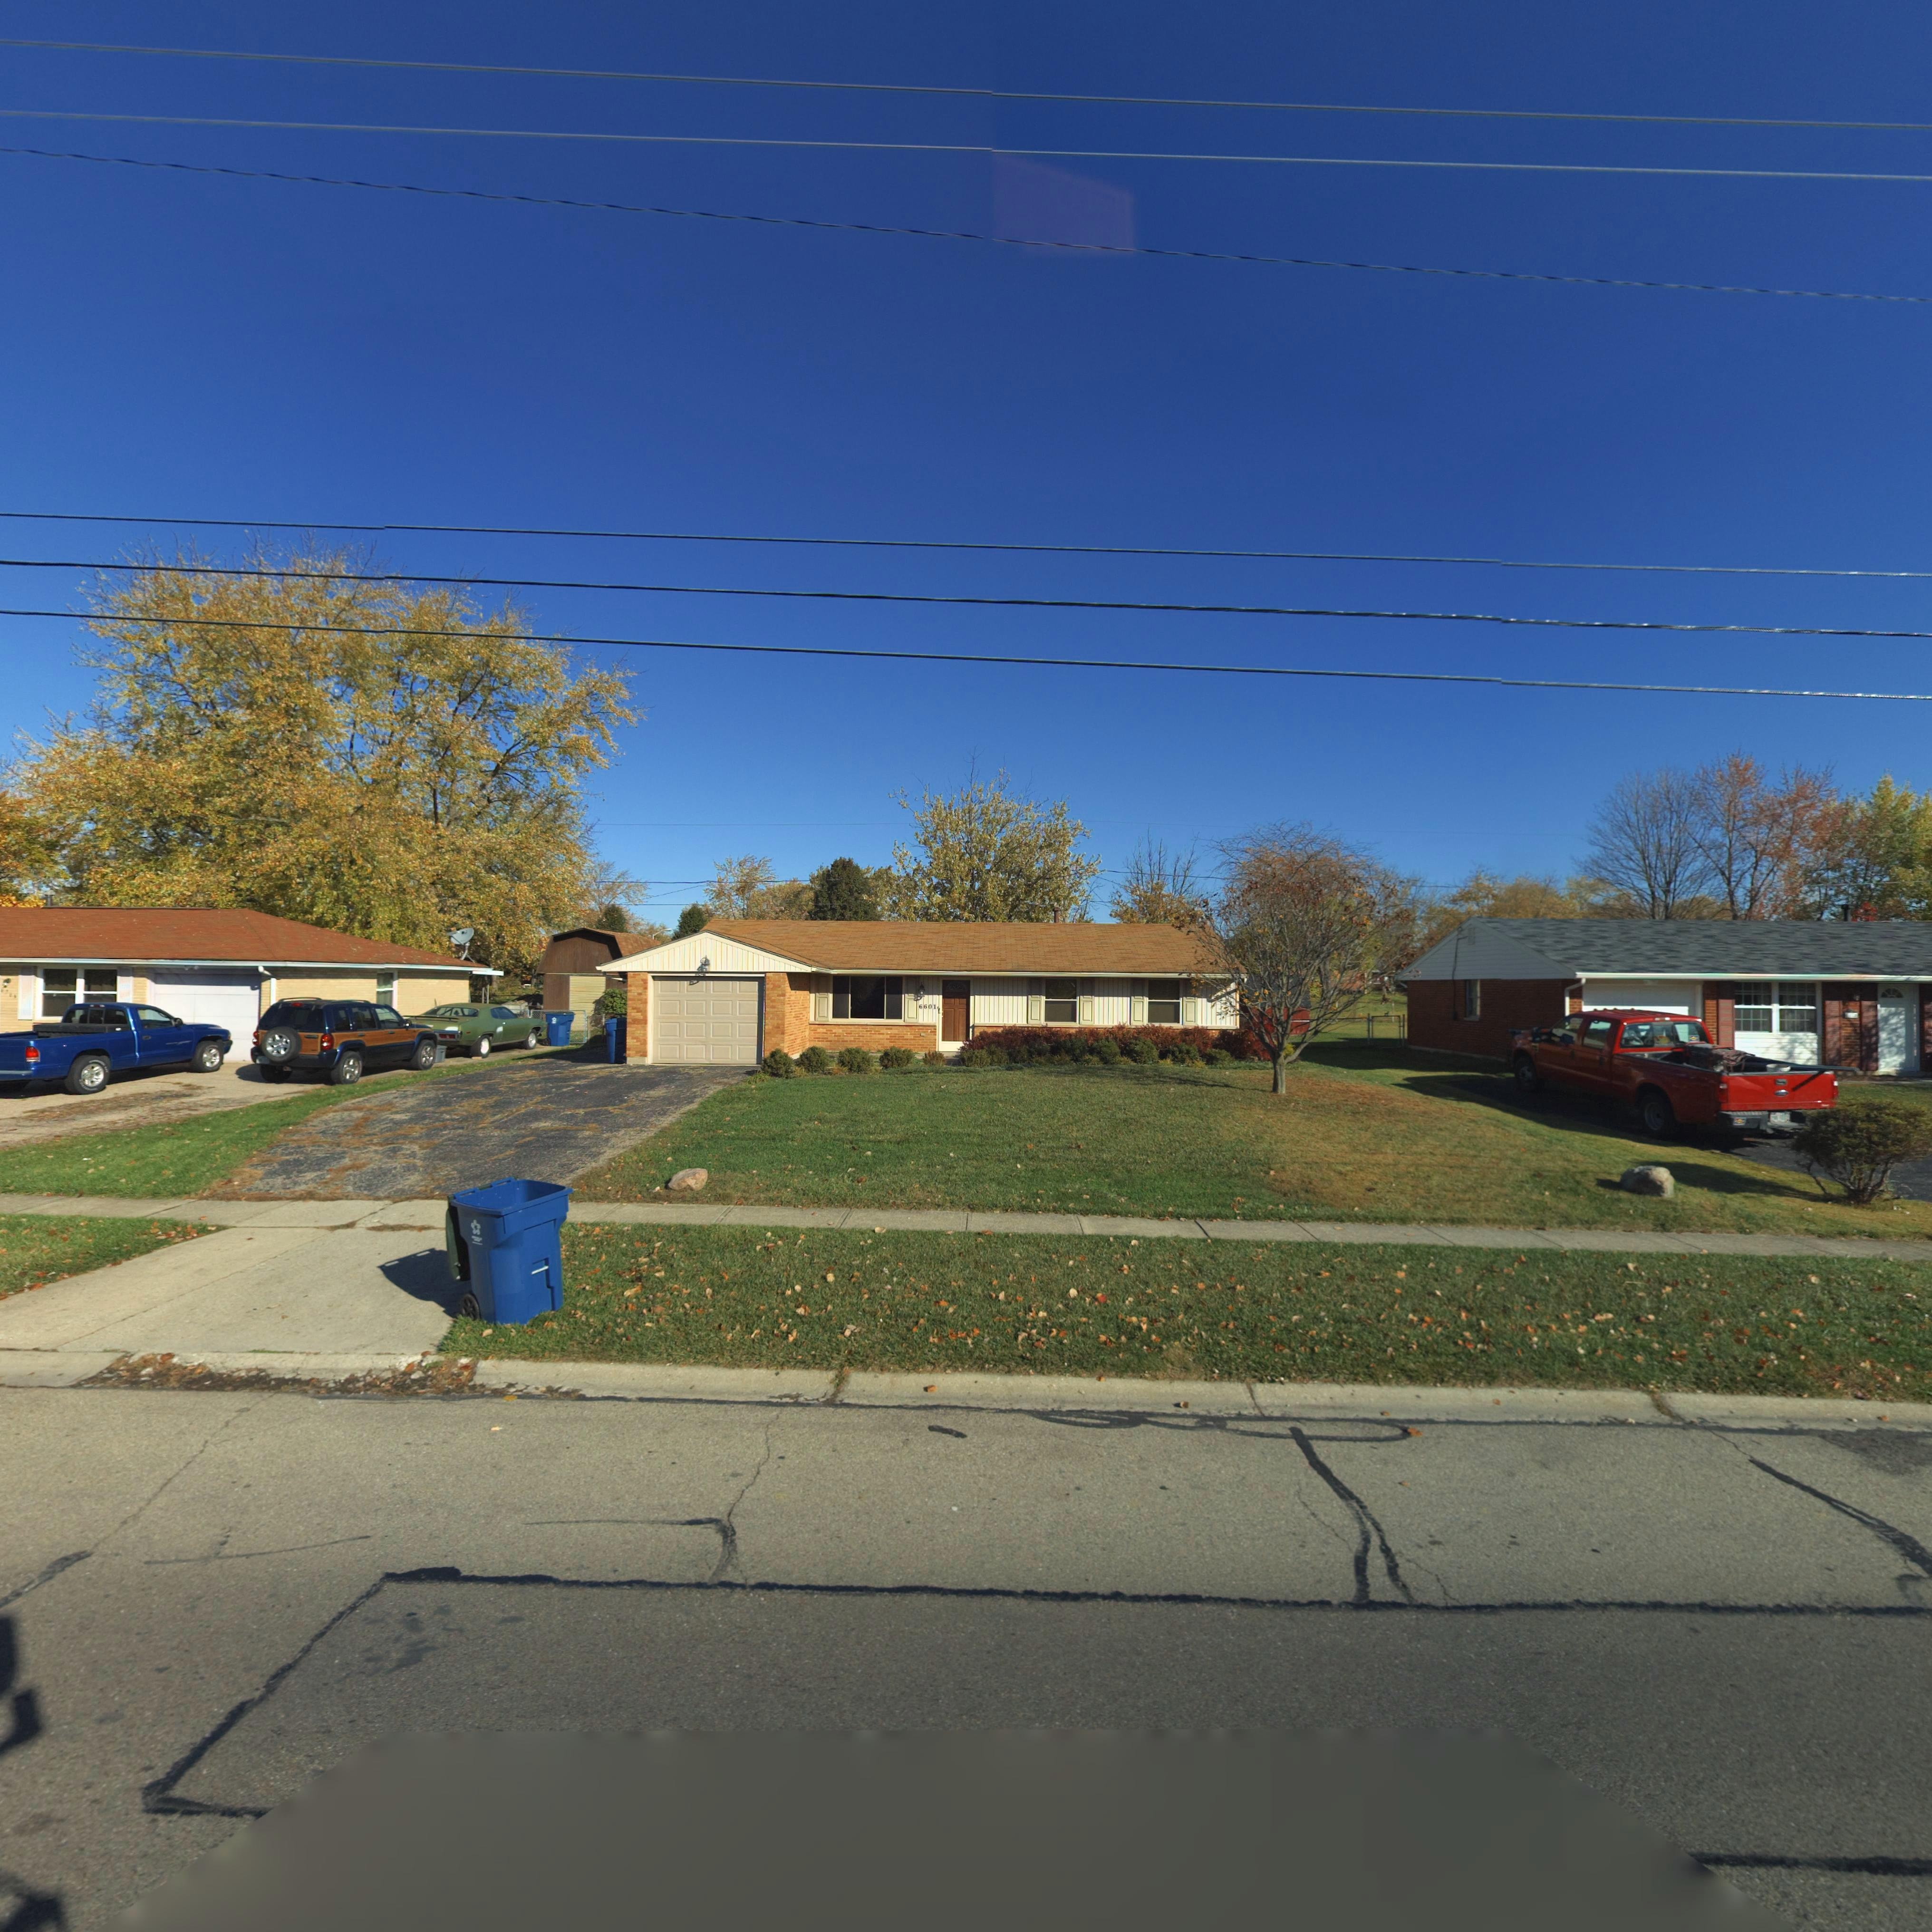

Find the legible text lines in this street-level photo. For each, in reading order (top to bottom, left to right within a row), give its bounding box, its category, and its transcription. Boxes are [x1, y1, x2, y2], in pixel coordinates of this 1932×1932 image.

[918, 1003, 937, 1010] StreetNumber: 6601